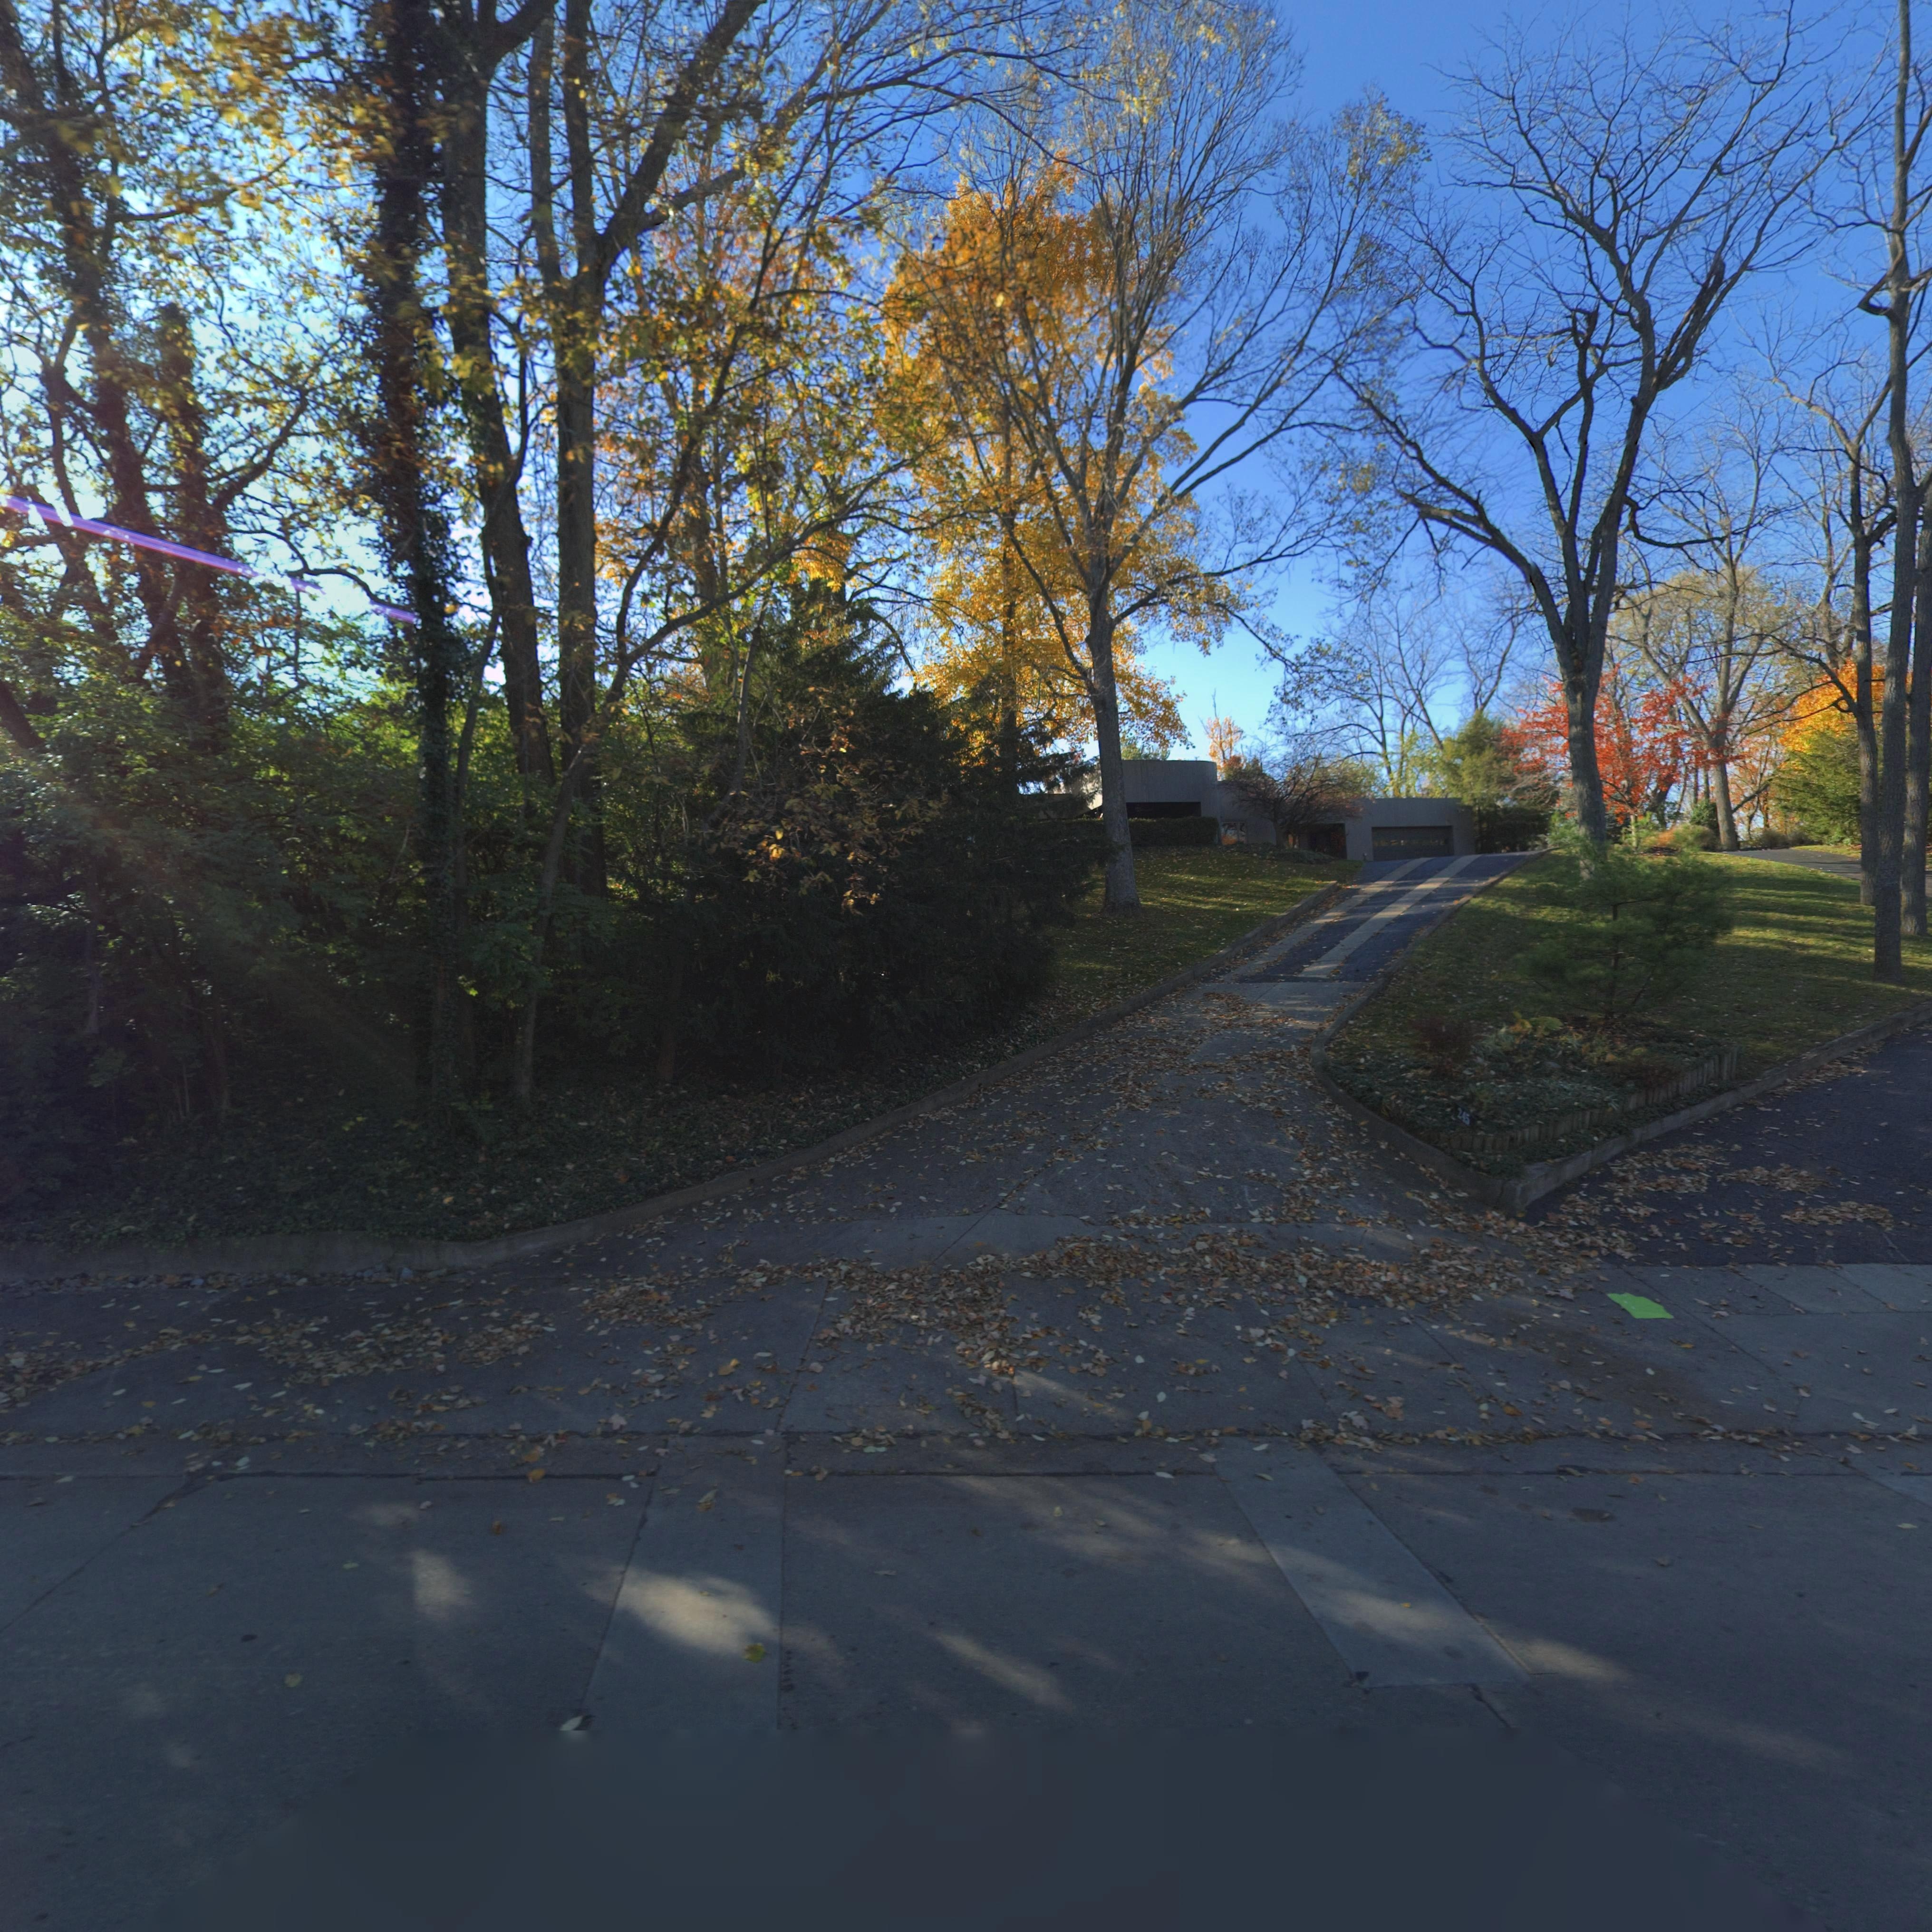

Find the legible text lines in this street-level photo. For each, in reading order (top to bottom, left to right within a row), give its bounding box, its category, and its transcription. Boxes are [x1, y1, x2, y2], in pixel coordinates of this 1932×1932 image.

[1457, 1106, 1471, 1126] StreetNumber: 245